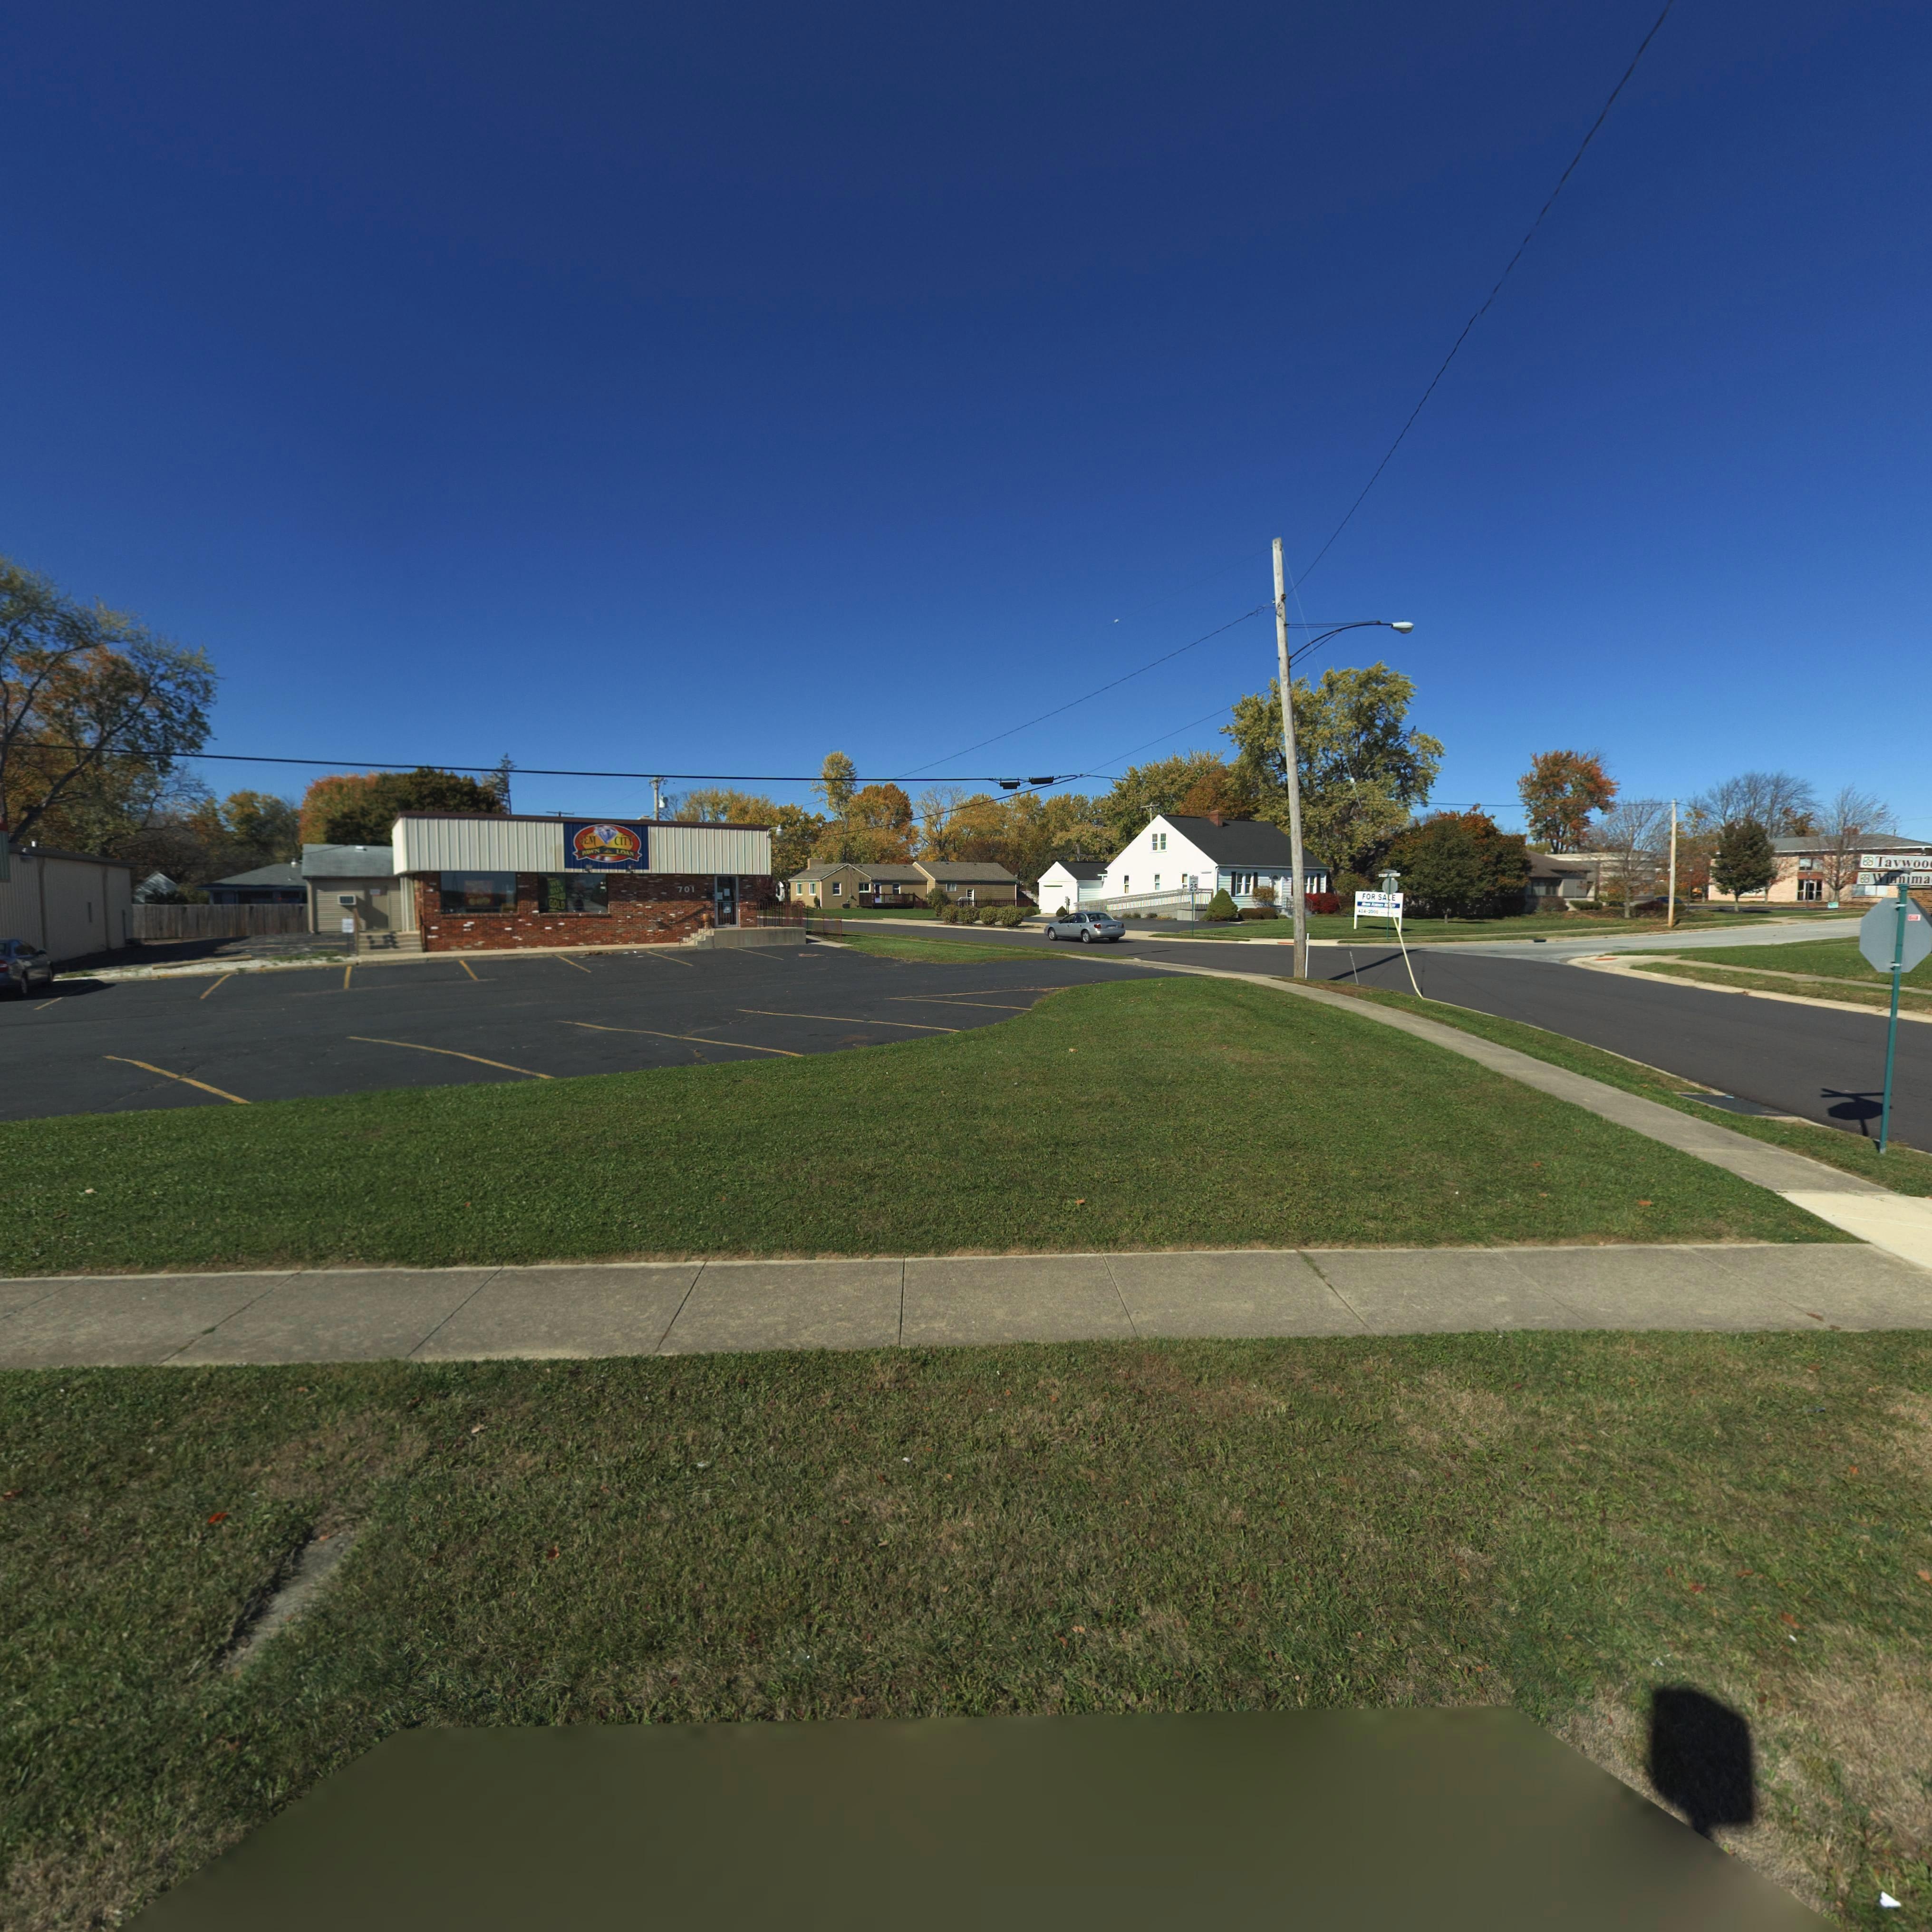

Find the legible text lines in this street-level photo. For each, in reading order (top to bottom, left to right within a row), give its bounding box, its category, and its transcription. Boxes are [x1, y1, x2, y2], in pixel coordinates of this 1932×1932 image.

[576, 834, 635, 846] BusinessName: GEM CITY
[580, 847, 635, 857] BusinessName: PAWN * LOAN
[1875, 855, 1930, 870] StreetName: Taywoo
[1872, 872, 1931, 885] StreetName: Winnima
[676, 885, 696, 894] StreetNumber: 701
[1361, 893, 1396, 901] None: FOR SA*E